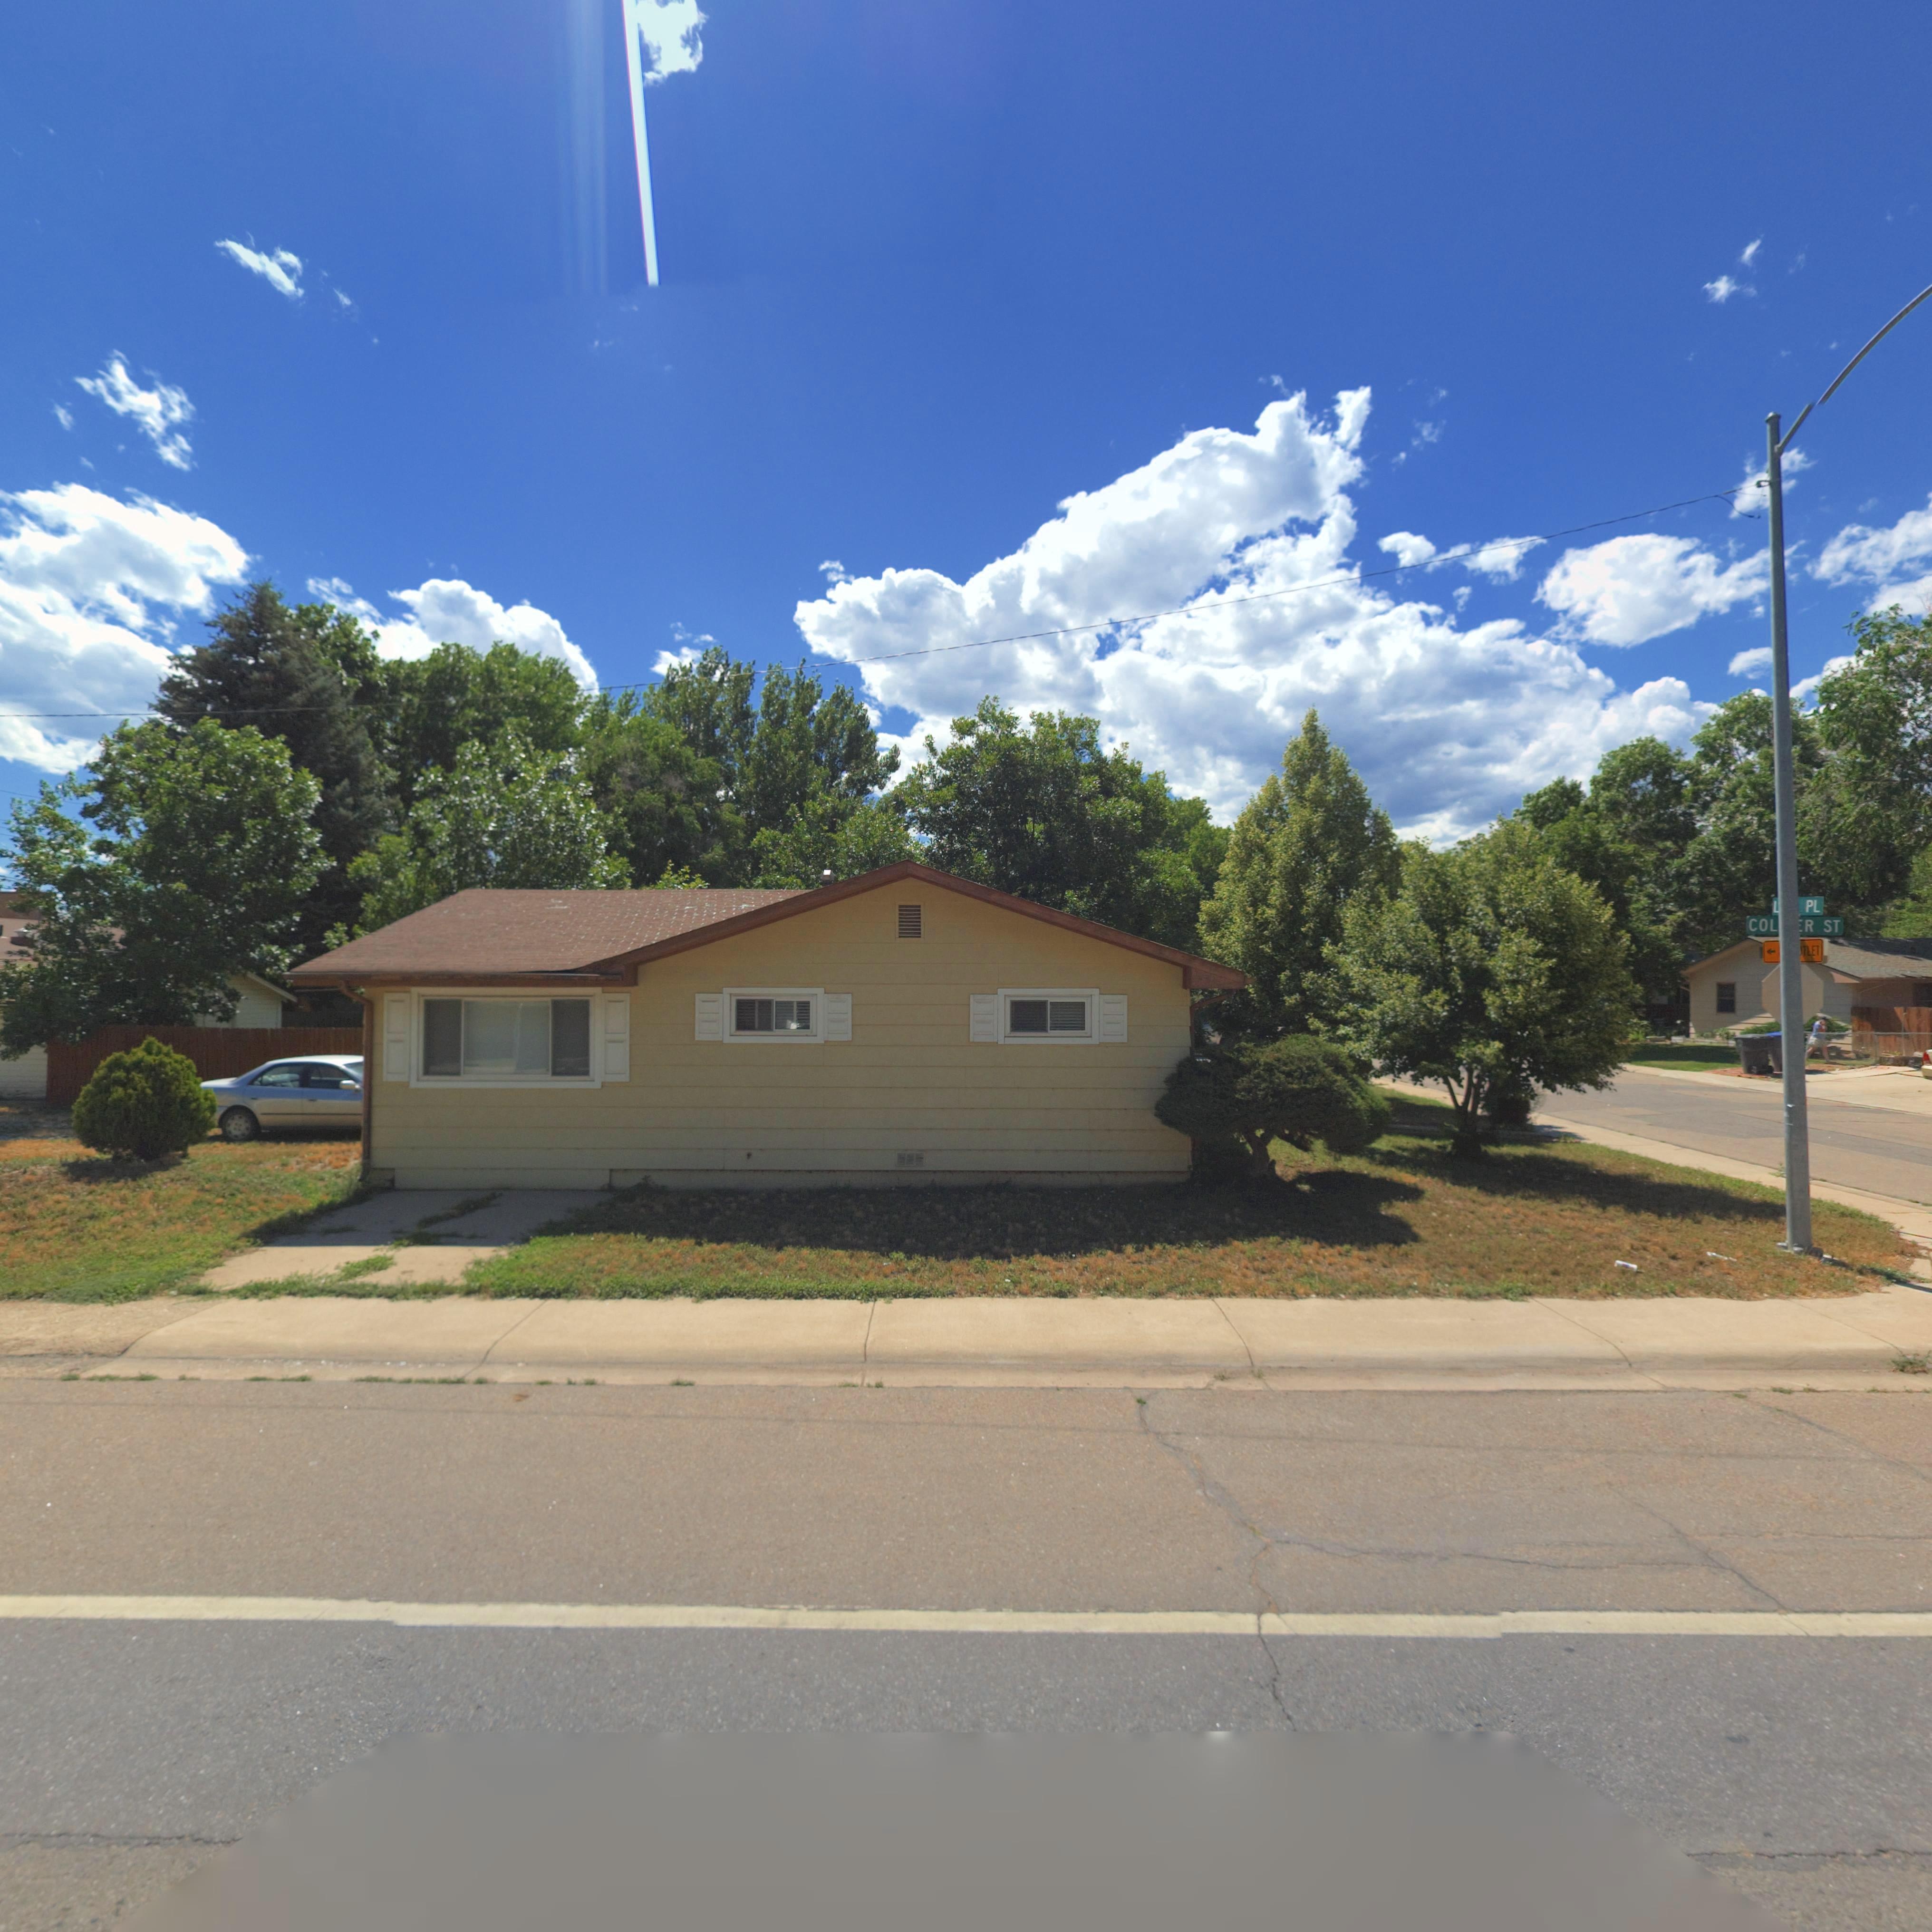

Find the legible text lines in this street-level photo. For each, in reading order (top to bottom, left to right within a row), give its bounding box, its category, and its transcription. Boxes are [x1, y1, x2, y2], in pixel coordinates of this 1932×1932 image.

[1773, 899, 1821, 913] StreetName: **** PL
[1748, 918, 1842, 934] StreetName: COL***R ST